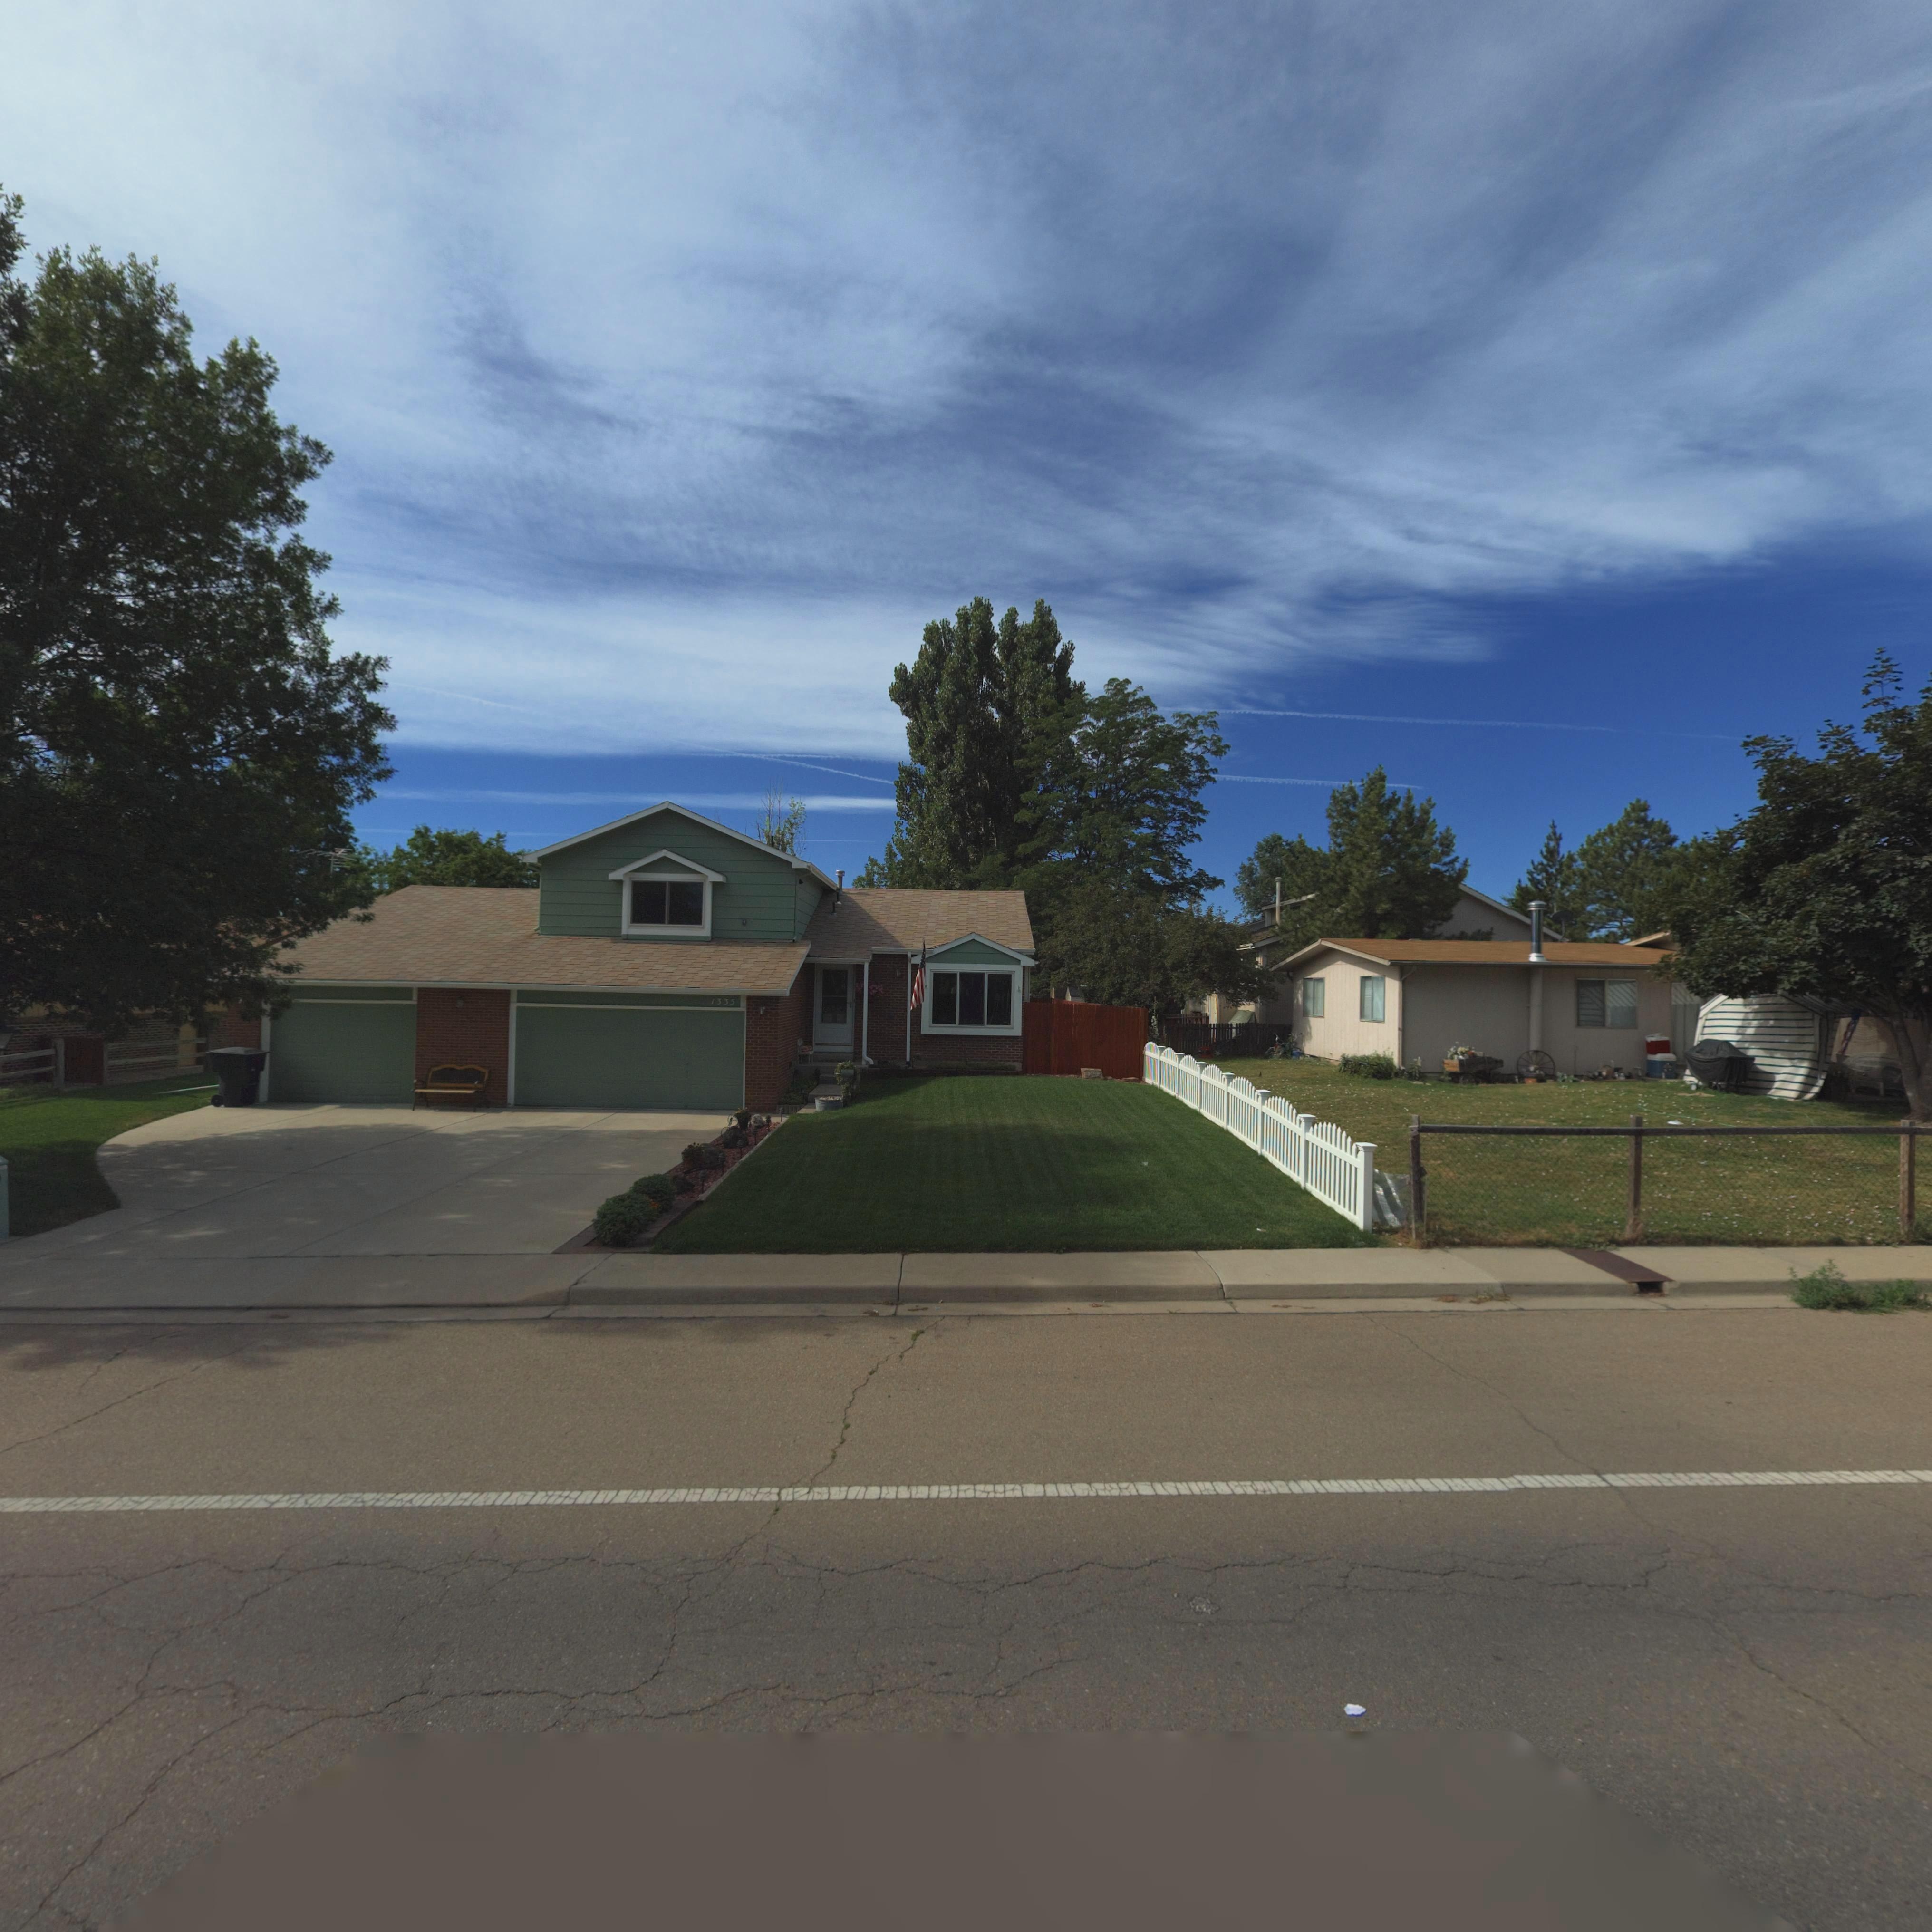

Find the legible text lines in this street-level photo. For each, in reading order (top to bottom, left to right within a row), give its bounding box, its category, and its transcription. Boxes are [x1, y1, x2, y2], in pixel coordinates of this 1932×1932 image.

[711, 997, 735, 1005] StreetNumber: 1335